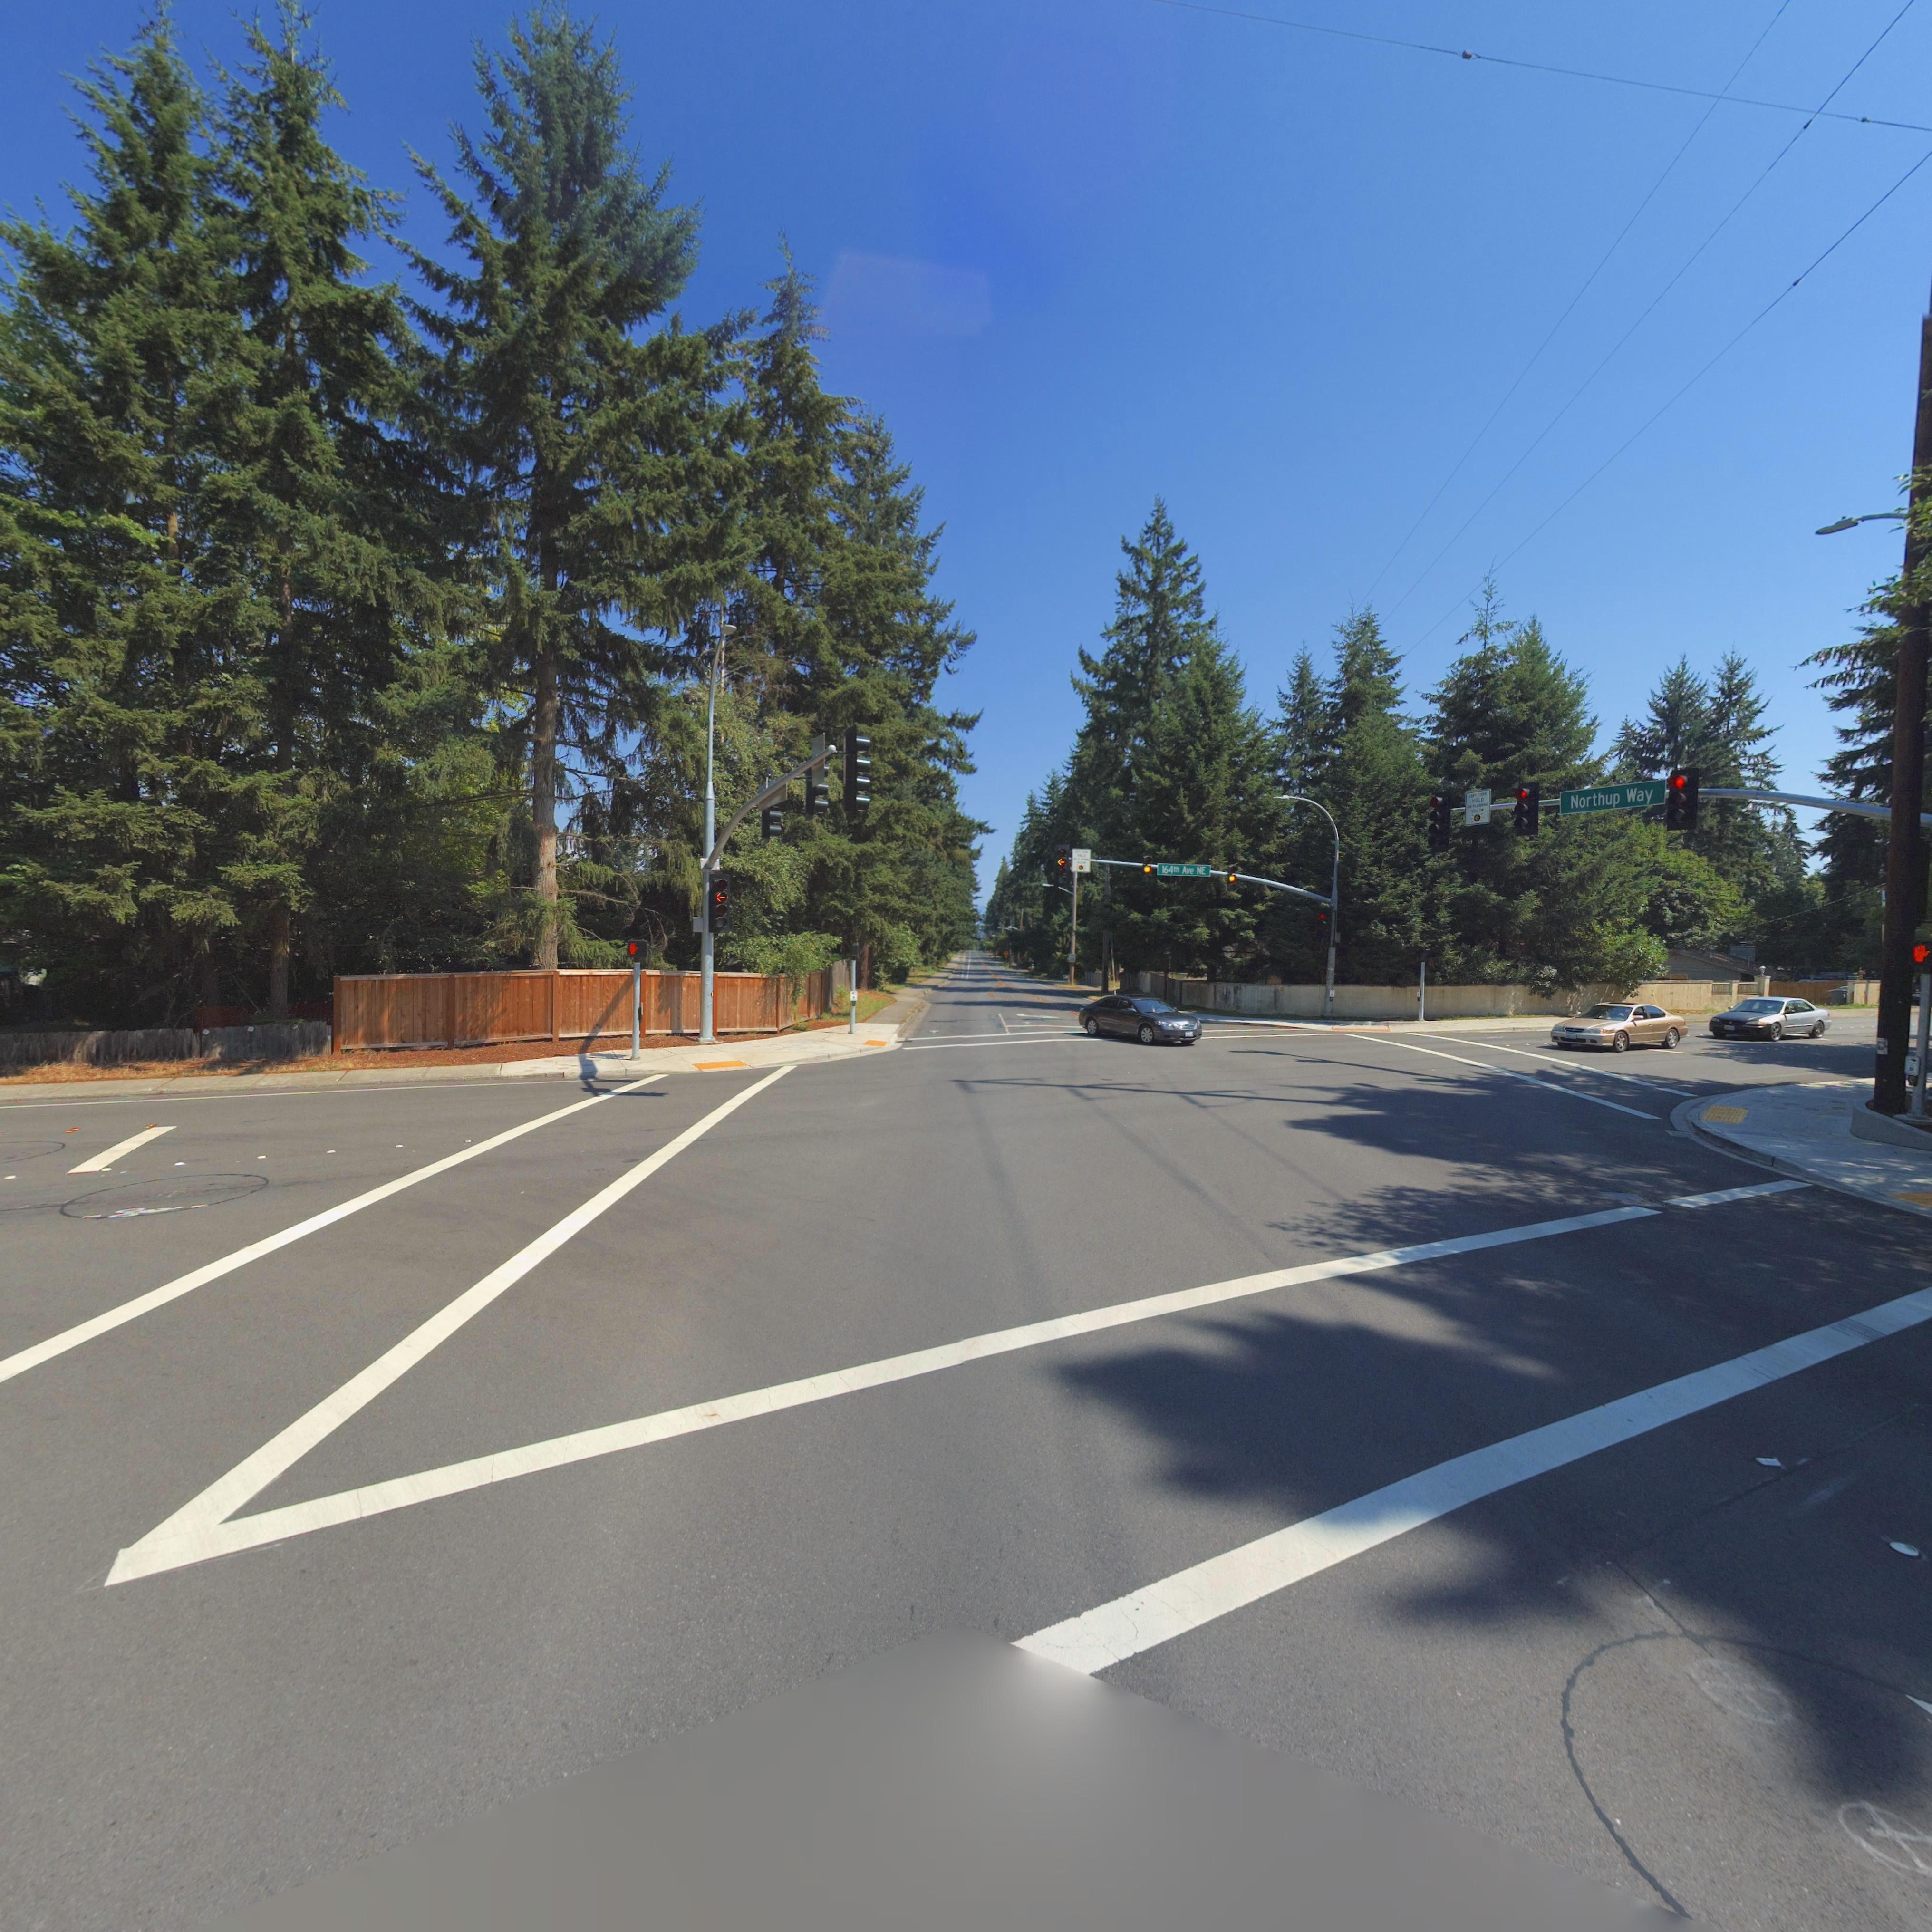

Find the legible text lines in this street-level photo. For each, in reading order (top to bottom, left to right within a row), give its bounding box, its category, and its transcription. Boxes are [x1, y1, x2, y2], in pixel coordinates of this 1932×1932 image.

[1570, 787, 1654, 809] StreetName: Northup Way
[1161, 865, 1206, 875] StreetName: 164th Ave NE